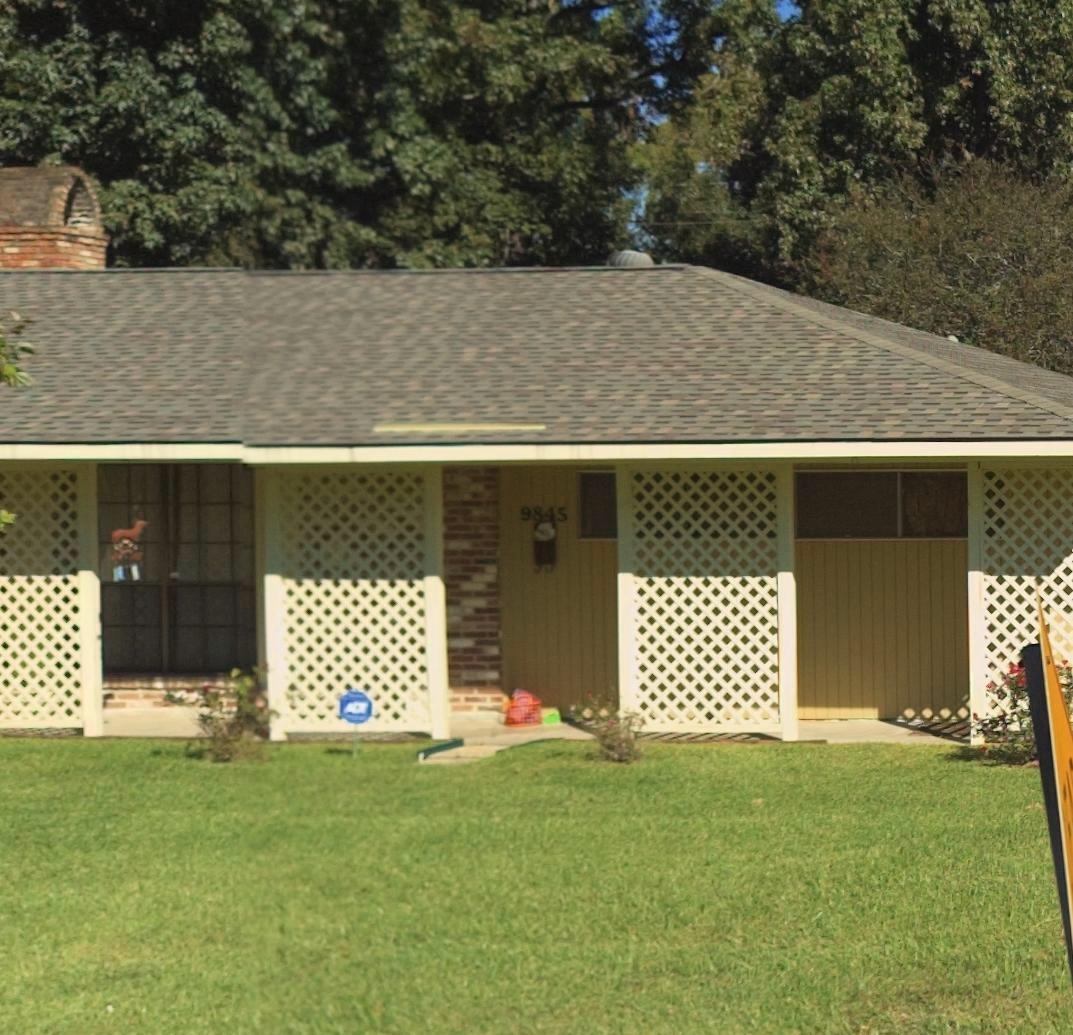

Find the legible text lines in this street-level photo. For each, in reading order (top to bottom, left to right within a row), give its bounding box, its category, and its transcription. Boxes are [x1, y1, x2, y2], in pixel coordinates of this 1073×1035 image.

[519, 504, 570, 523] StreetNumber: 9845